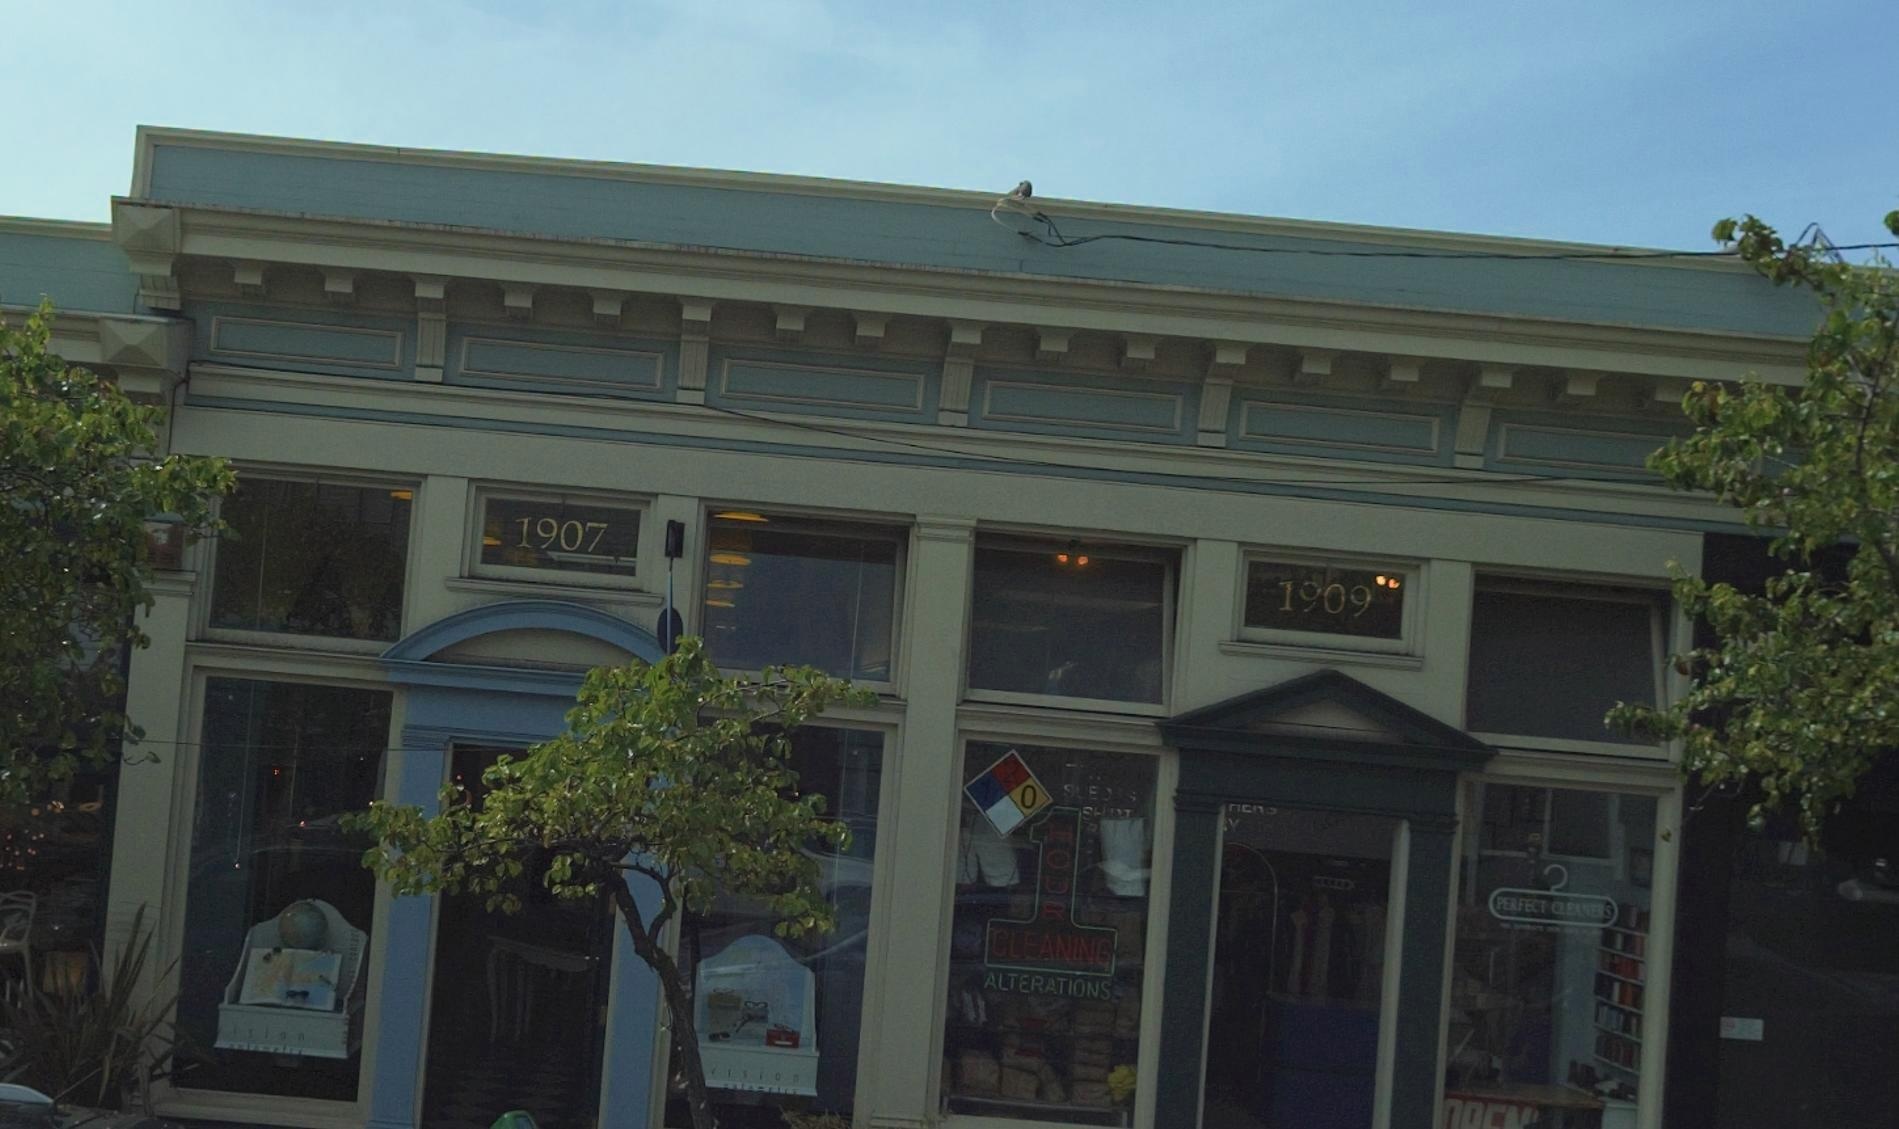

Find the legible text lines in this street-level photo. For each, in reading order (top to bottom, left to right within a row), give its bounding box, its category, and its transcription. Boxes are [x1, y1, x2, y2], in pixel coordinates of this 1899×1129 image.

[511, 513, 615, 555] StreetNumber: 1907
[1273, 575, 1374, 622] StreetNumber: 1909
[977, 774, 994, 805] None: 1
[999, 756, 1023, 787] None: 2
[1019, 781, 1038, 813] None: O
[1038, 818, 1075, 925] None: HOUR
[1494, 893, 1615, 921] BusinessName: PERFECT CLEANERS
[989, 921, 1116, 972] None: CLEANING
[979, 967, 1114, 1003] None: ALTERATIONS